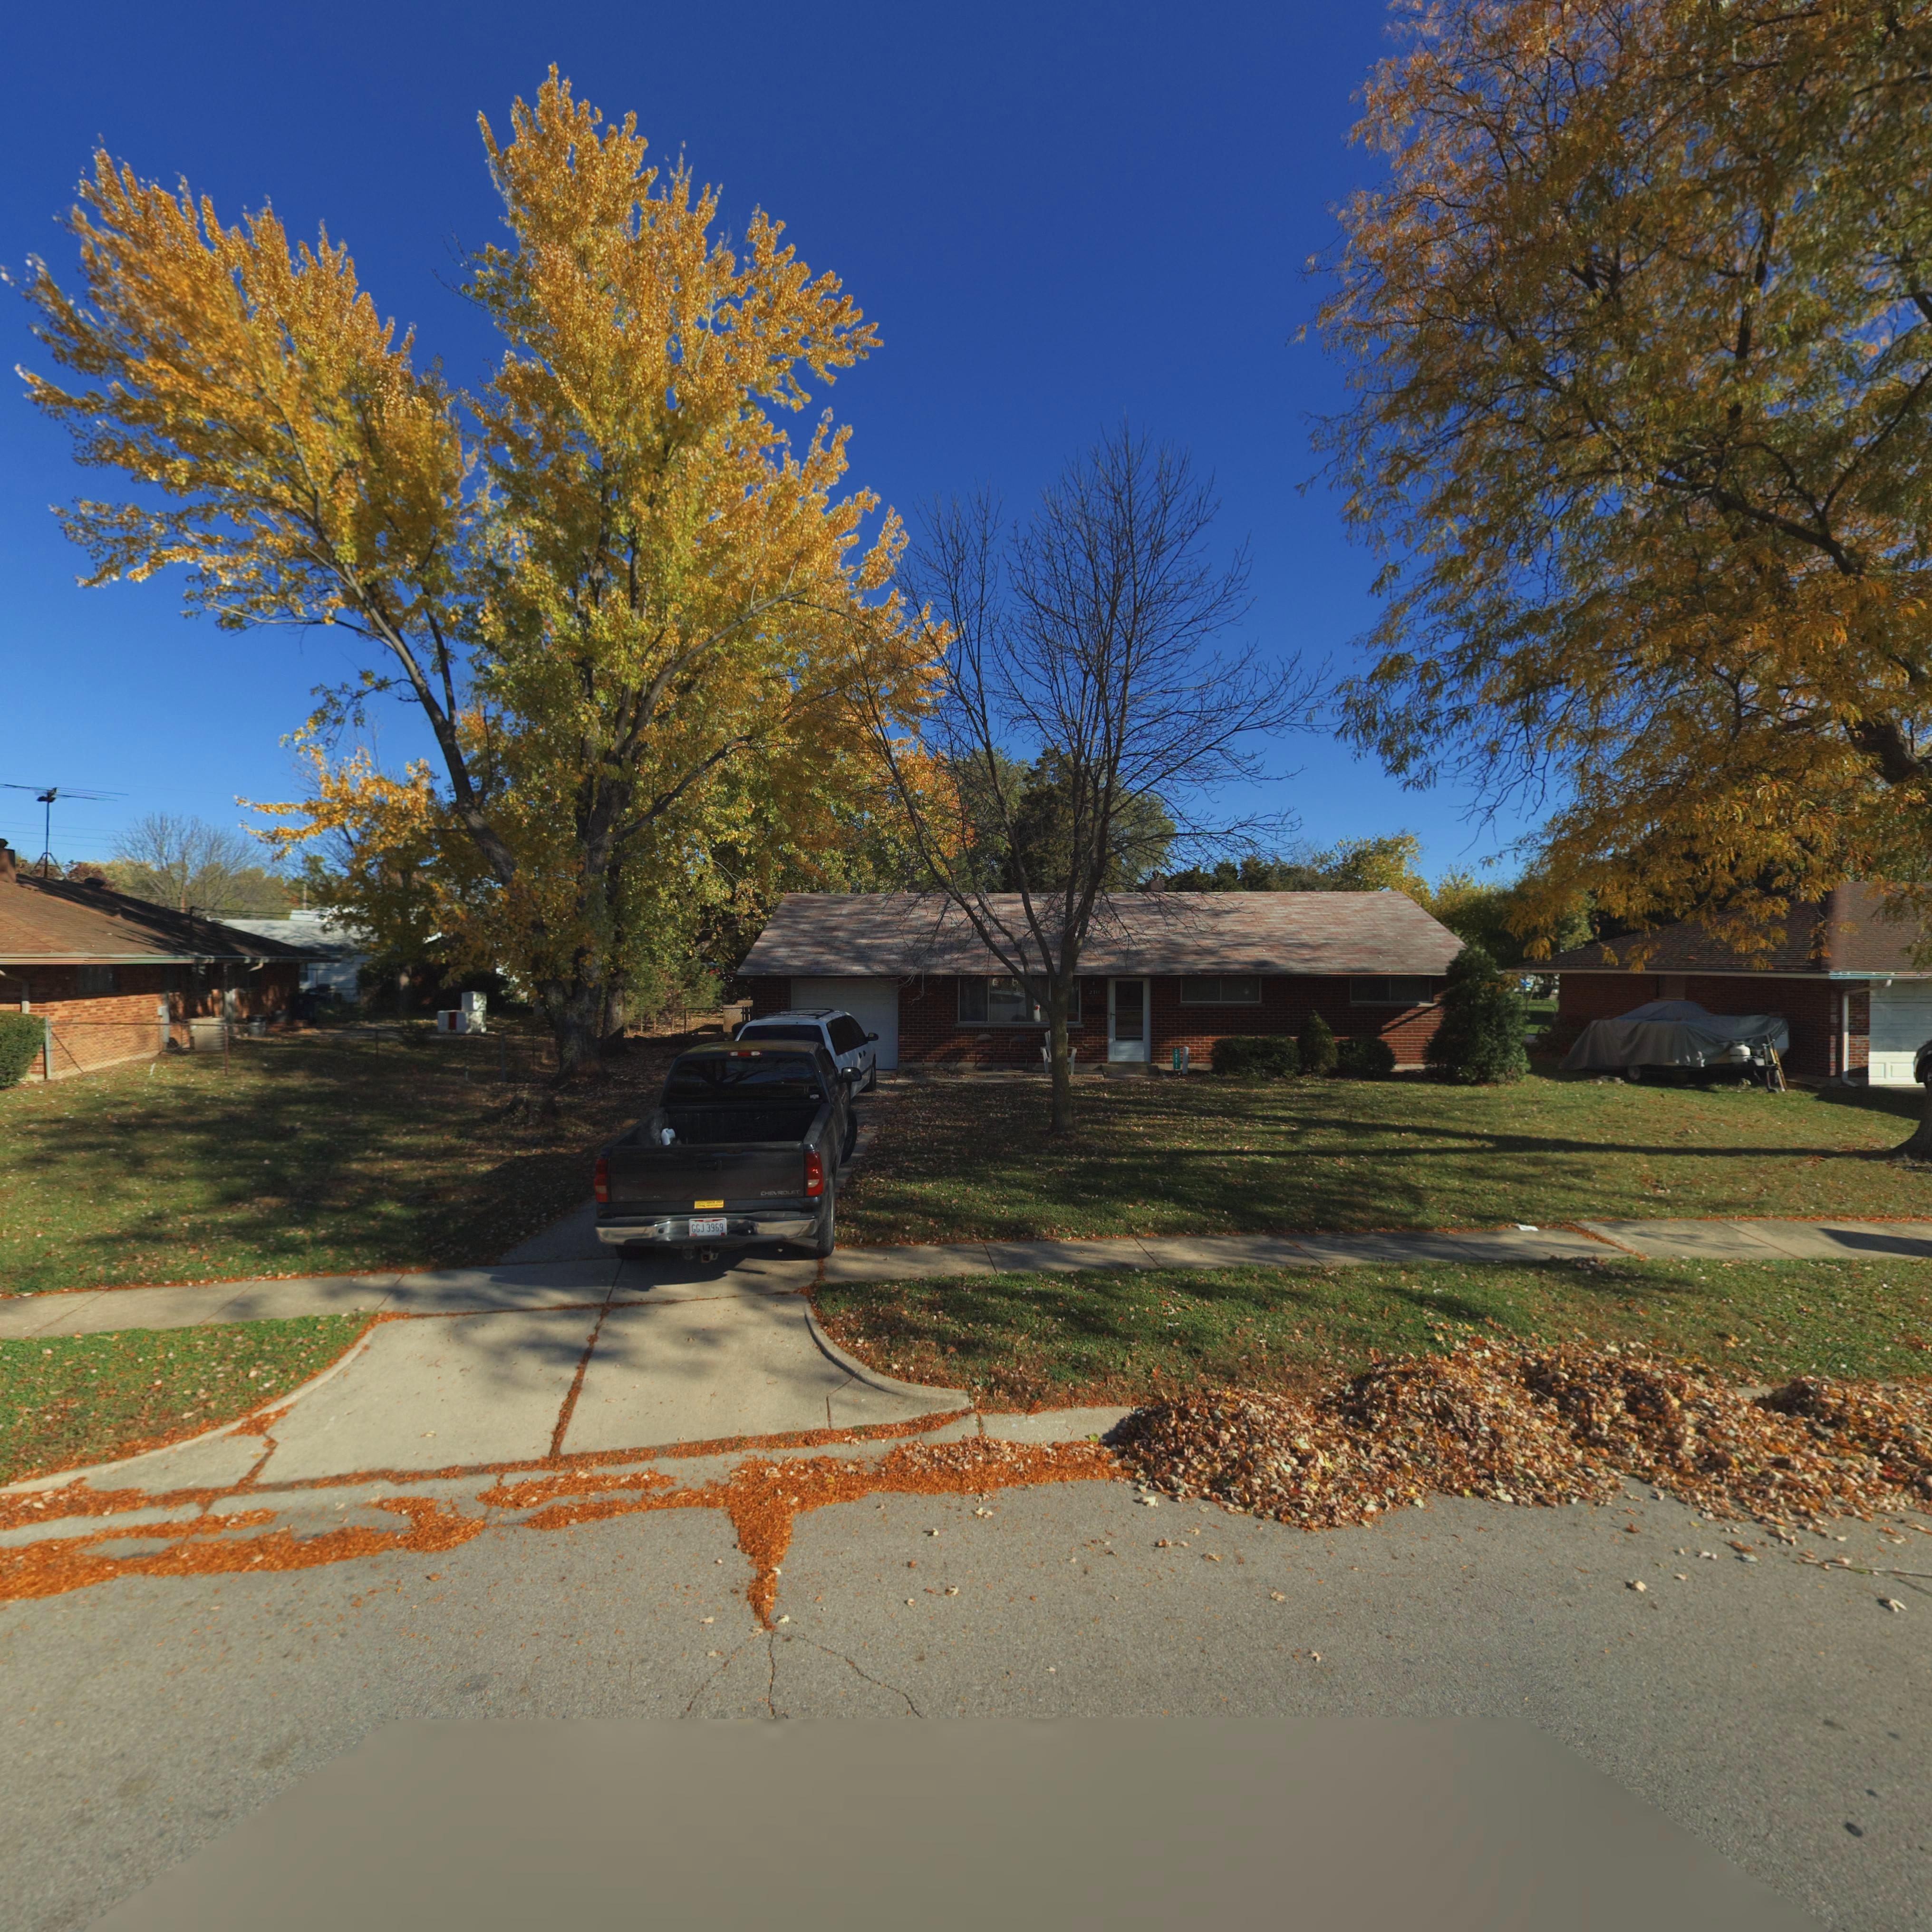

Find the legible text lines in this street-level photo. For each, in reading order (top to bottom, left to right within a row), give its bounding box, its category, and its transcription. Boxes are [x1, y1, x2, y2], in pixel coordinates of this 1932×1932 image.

[1089, 990, 1100, 995] StreetNumber: 2711
[1174, 1048, 1179, 1068] StreetNumber: 2711